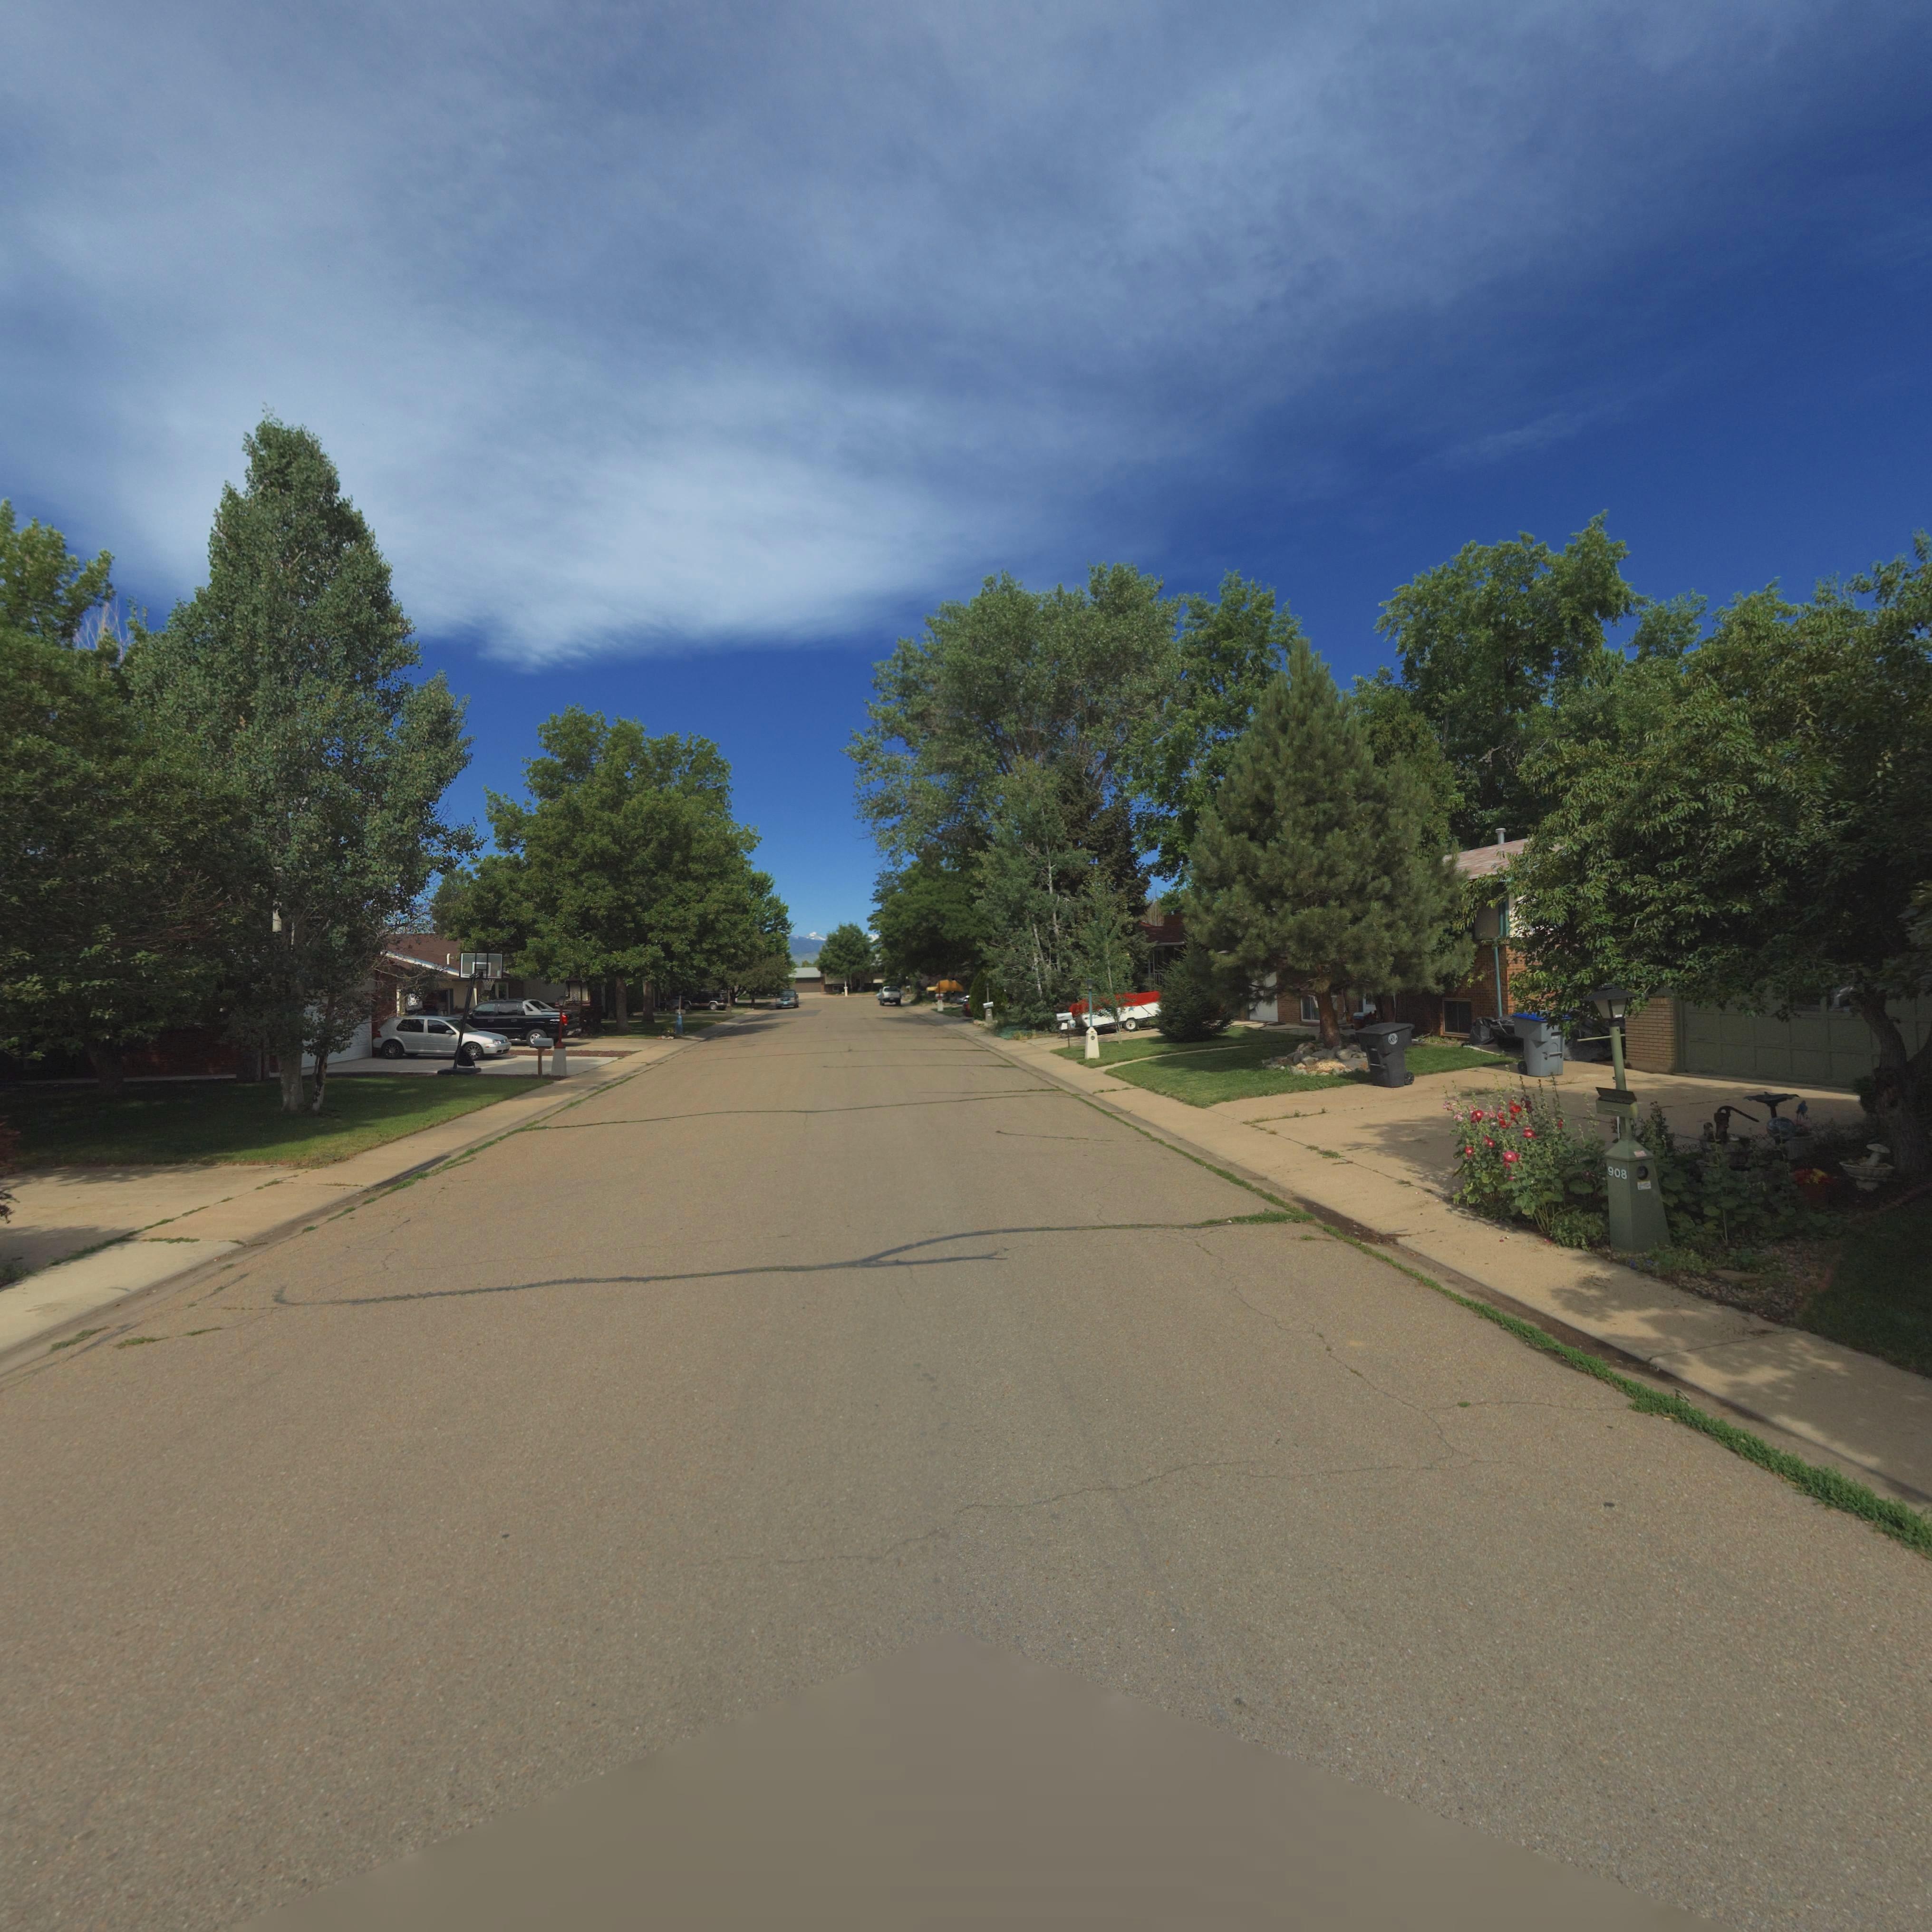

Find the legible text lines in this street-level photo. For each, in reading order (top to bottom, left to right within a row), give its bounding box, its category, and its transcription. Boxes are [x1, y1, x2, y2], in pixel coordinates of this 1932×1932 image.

[1607, 1166, 1627, 1180] StreetNumber: 908